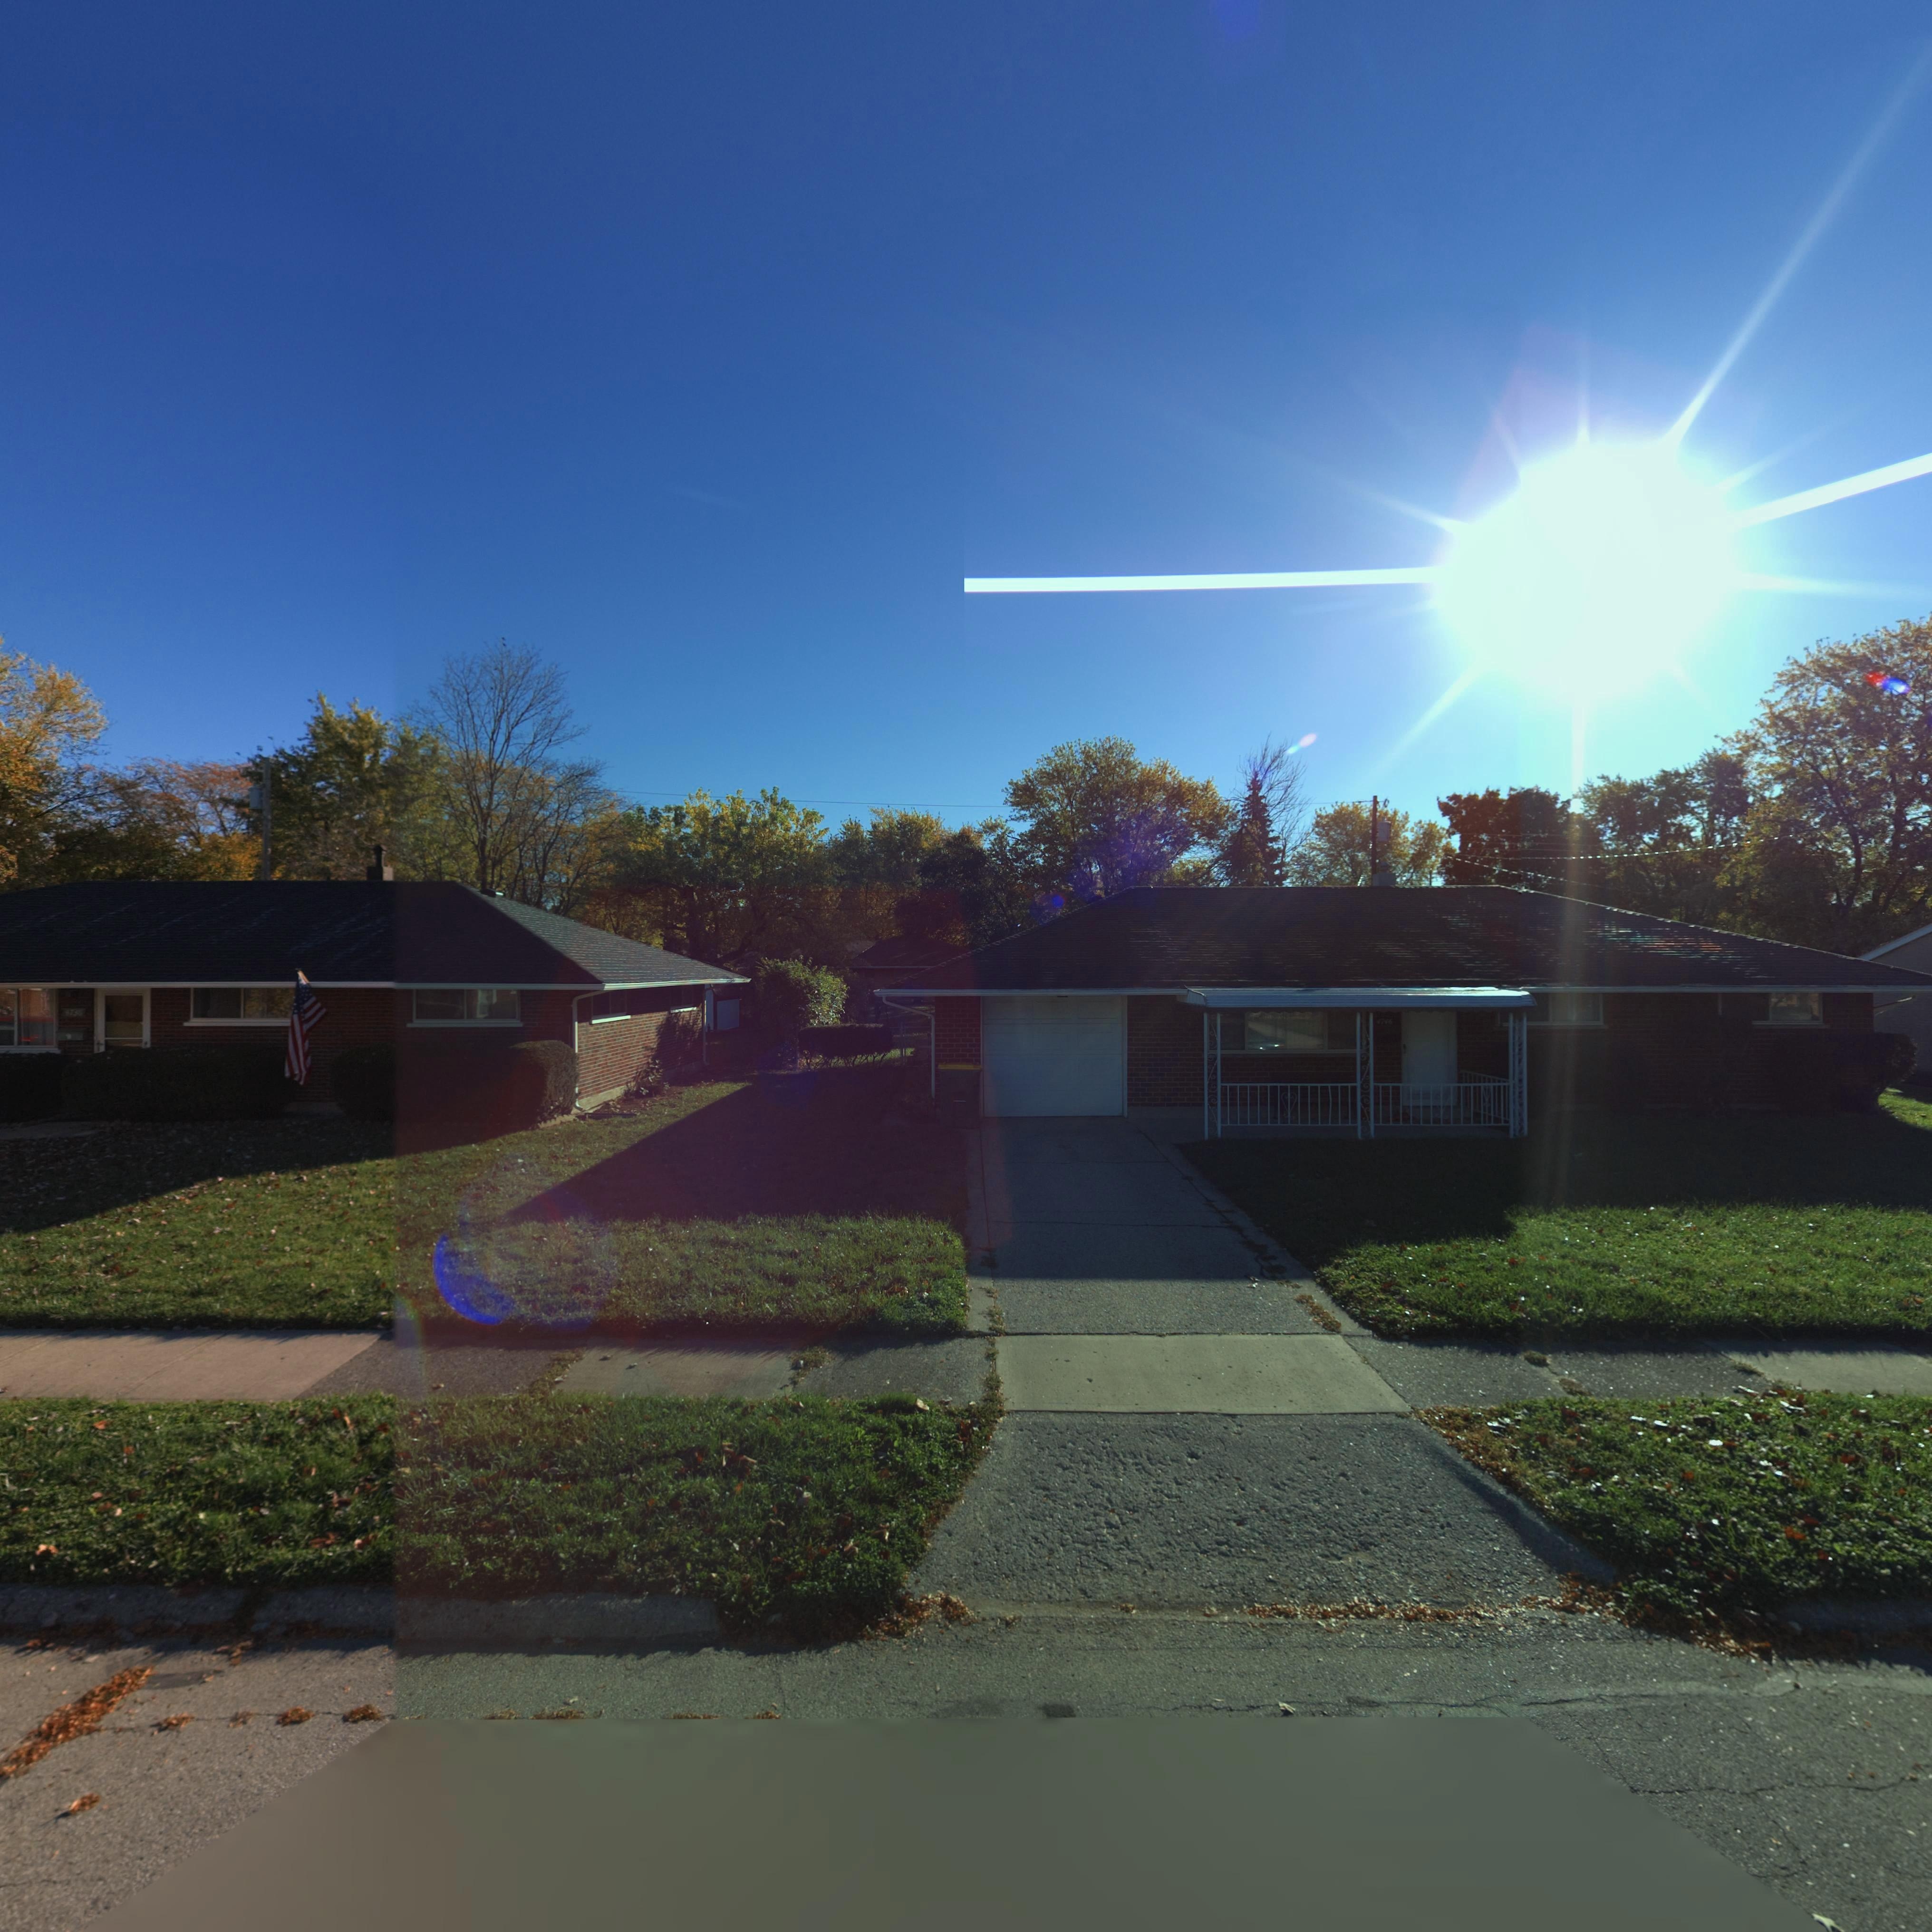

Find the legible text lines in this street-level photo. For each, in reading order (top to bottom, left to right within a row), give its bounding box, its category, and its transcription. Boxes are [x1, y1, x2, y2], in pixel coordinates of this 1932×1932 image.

[65, 1008, 82, 1016] StreetNumber: 4735
[1376, 1017, 1394, 1024] StreetNumber: 4746